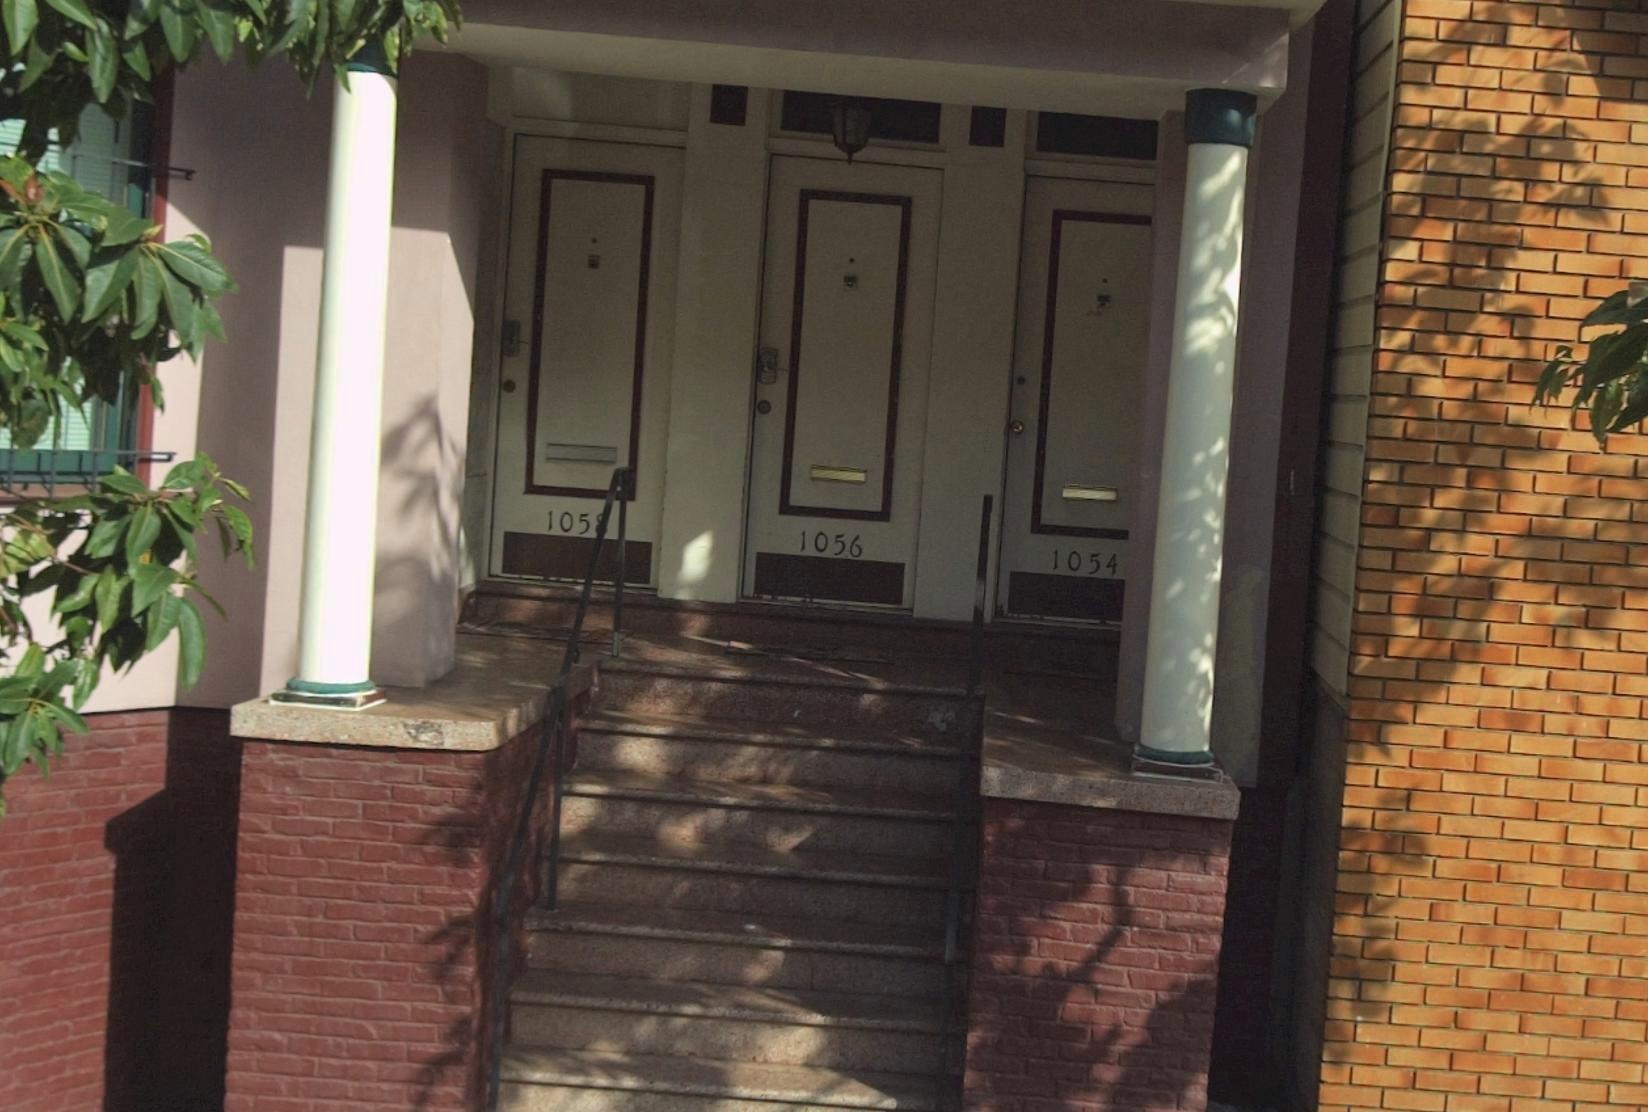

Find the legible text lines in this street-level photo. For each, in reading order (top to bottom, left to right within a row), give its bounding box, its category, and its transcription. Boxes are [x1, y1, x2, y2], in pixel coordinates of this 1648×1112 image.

[545, 507, 594, 537] StreetNumber: 1058
[798, 529, 865, 561] StreetNumber: 1056
[1050, 548, 1119, 579] StreetNumber: 1054